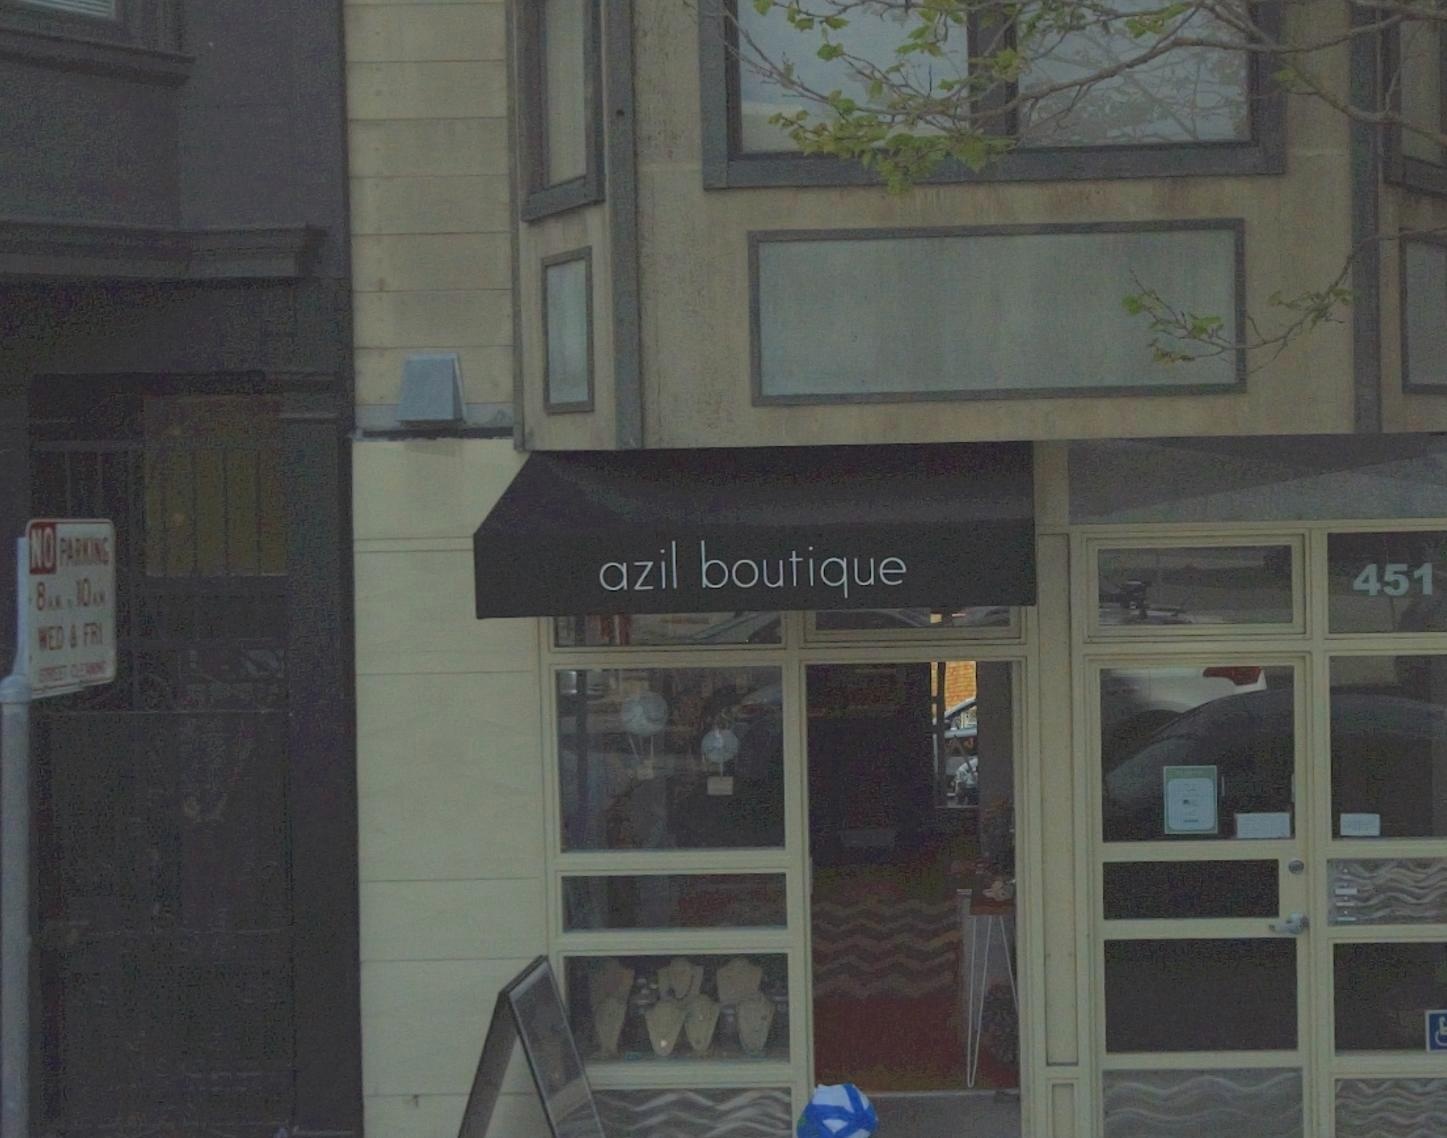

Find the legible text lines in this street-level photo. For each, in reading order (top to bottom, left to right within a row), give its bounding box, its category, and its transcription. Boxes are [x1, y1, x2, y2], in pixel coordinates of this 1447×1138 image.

[31, 579, 50, 614] None: 8
[27, 524, 115, 573] None: N0 PARKING
[70, 573, 97, 611] None: 10
[594, 535, 911, 602] BusinessName: azil boutique
[1348, 558, 1436, 602] StreetNumber: 451
[31, 617, 107, 657] None: WED & FRI